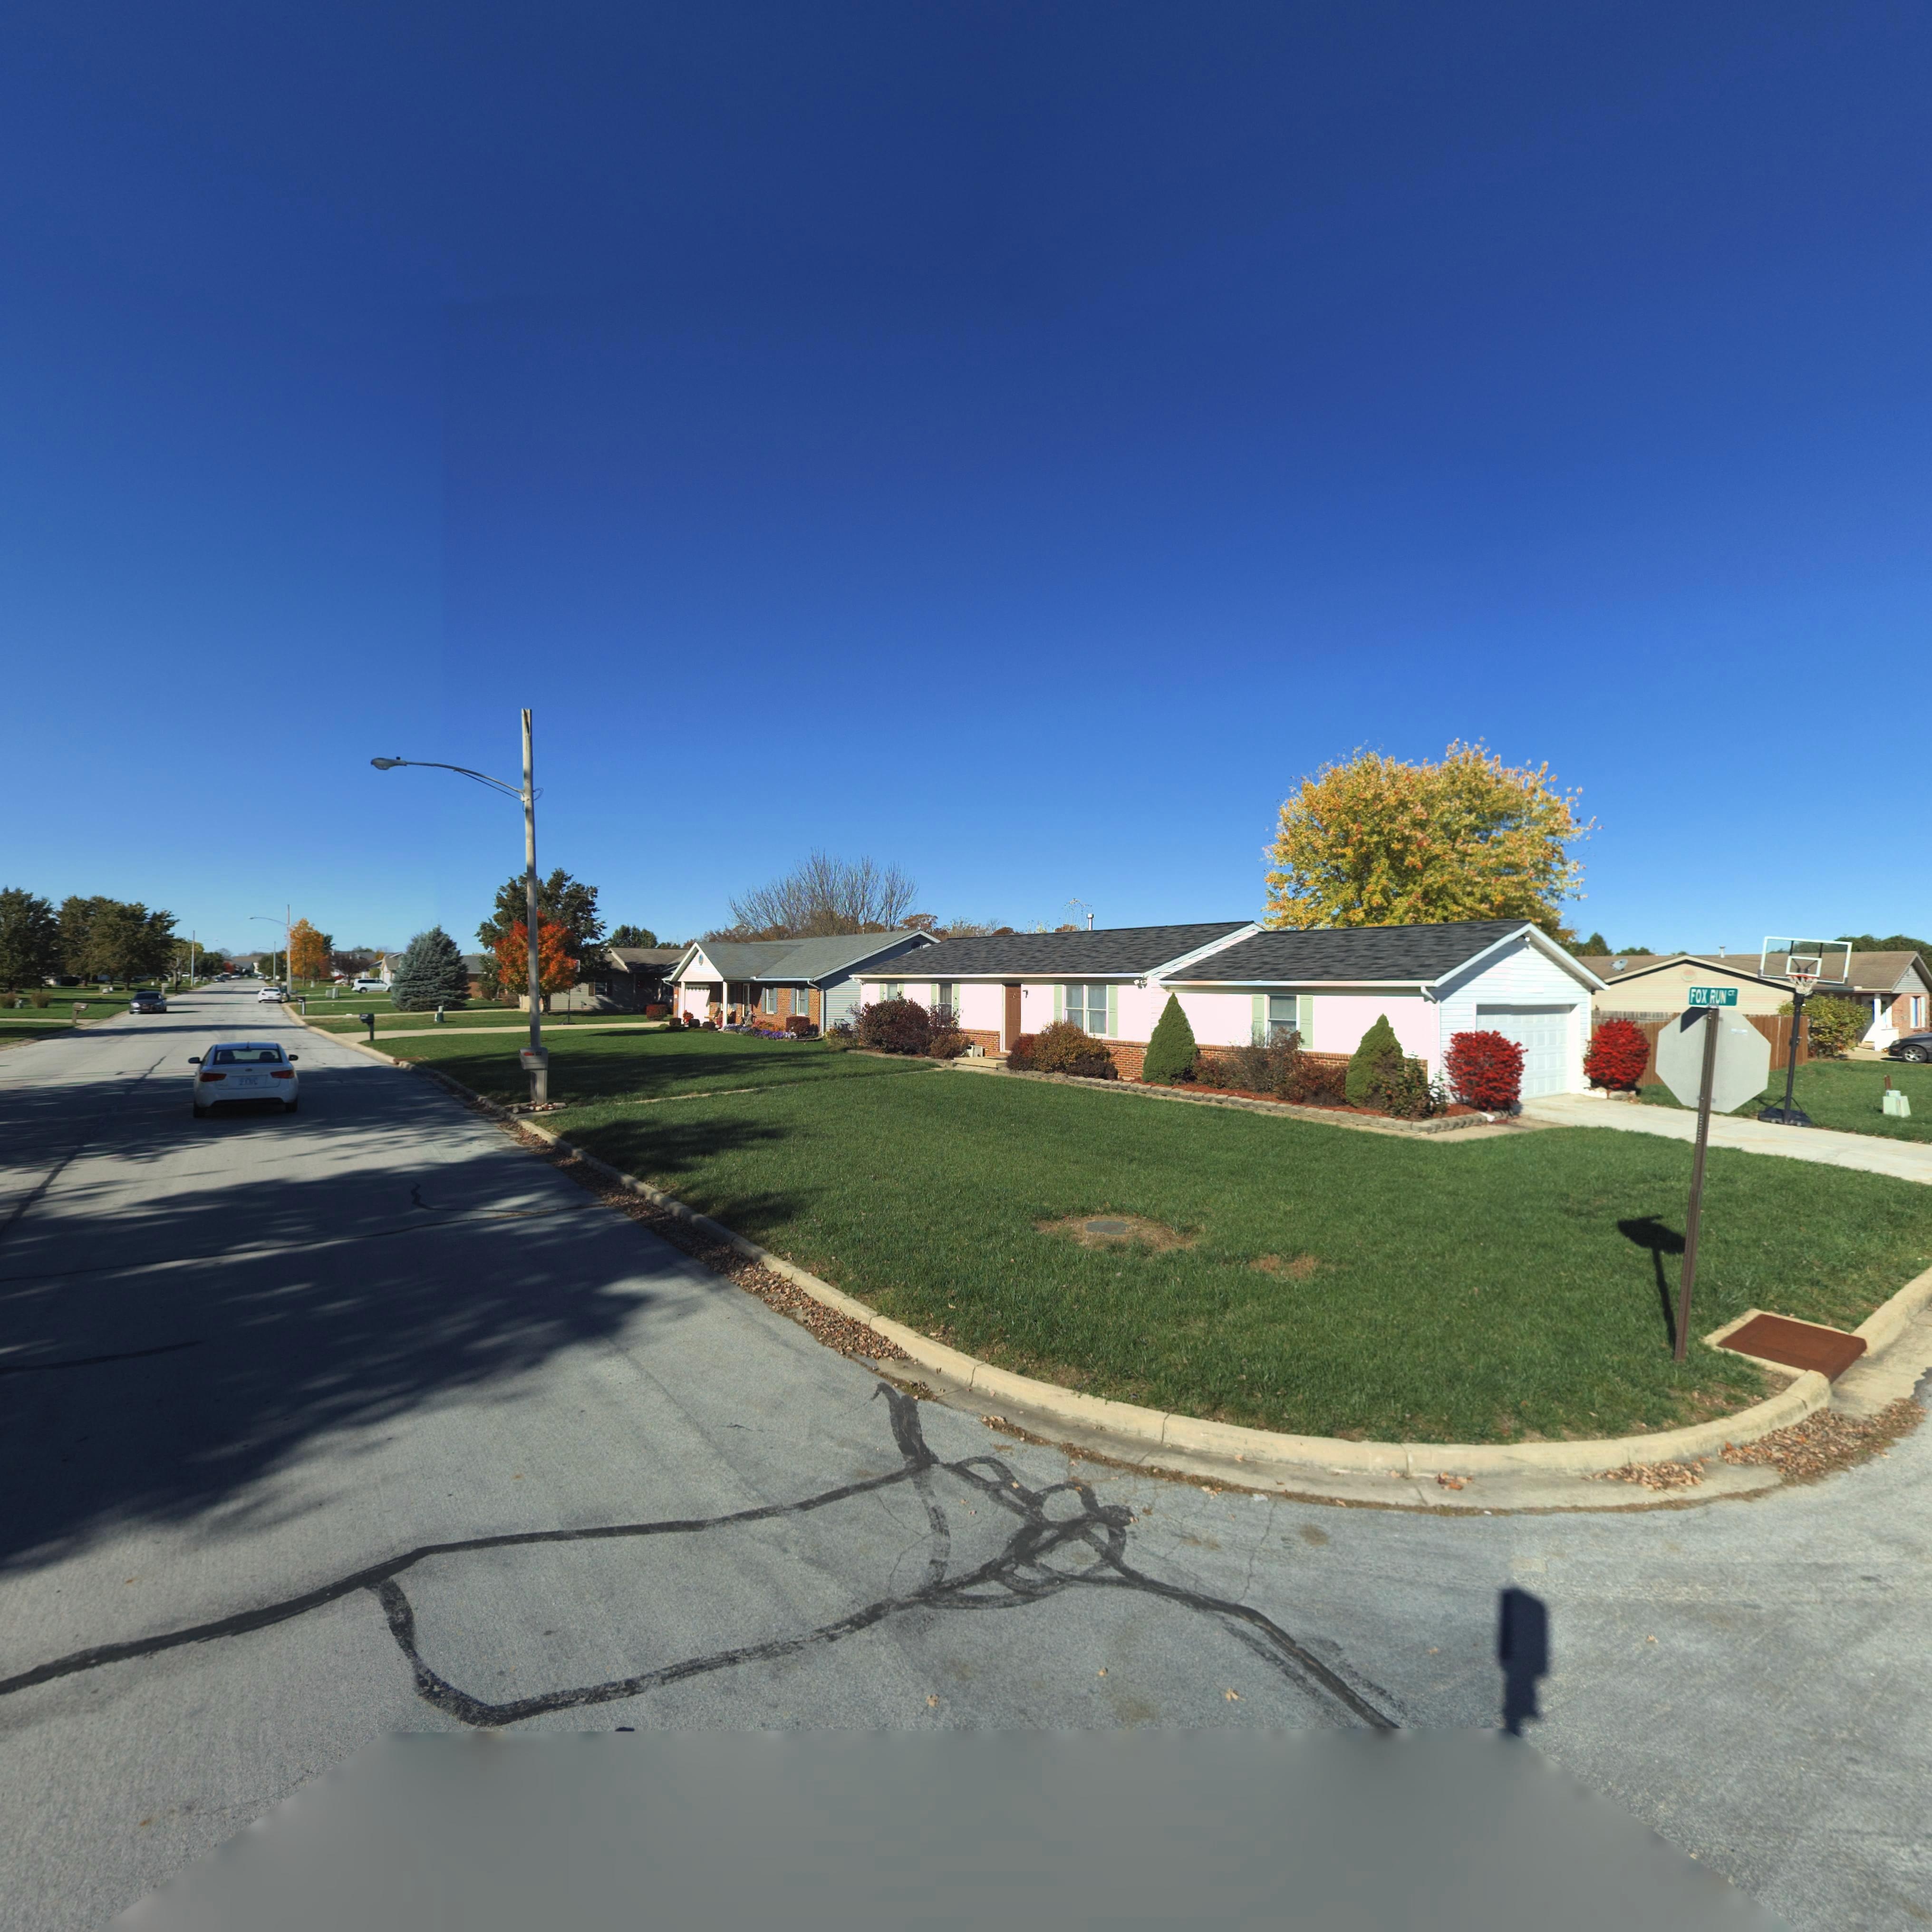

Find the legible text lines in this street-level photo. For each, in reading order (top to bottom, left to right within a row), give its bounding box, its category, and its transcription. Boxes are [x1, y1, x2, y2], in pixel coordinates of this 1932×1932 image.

[535, 1051, 542, 1056] StreetNumber: 122